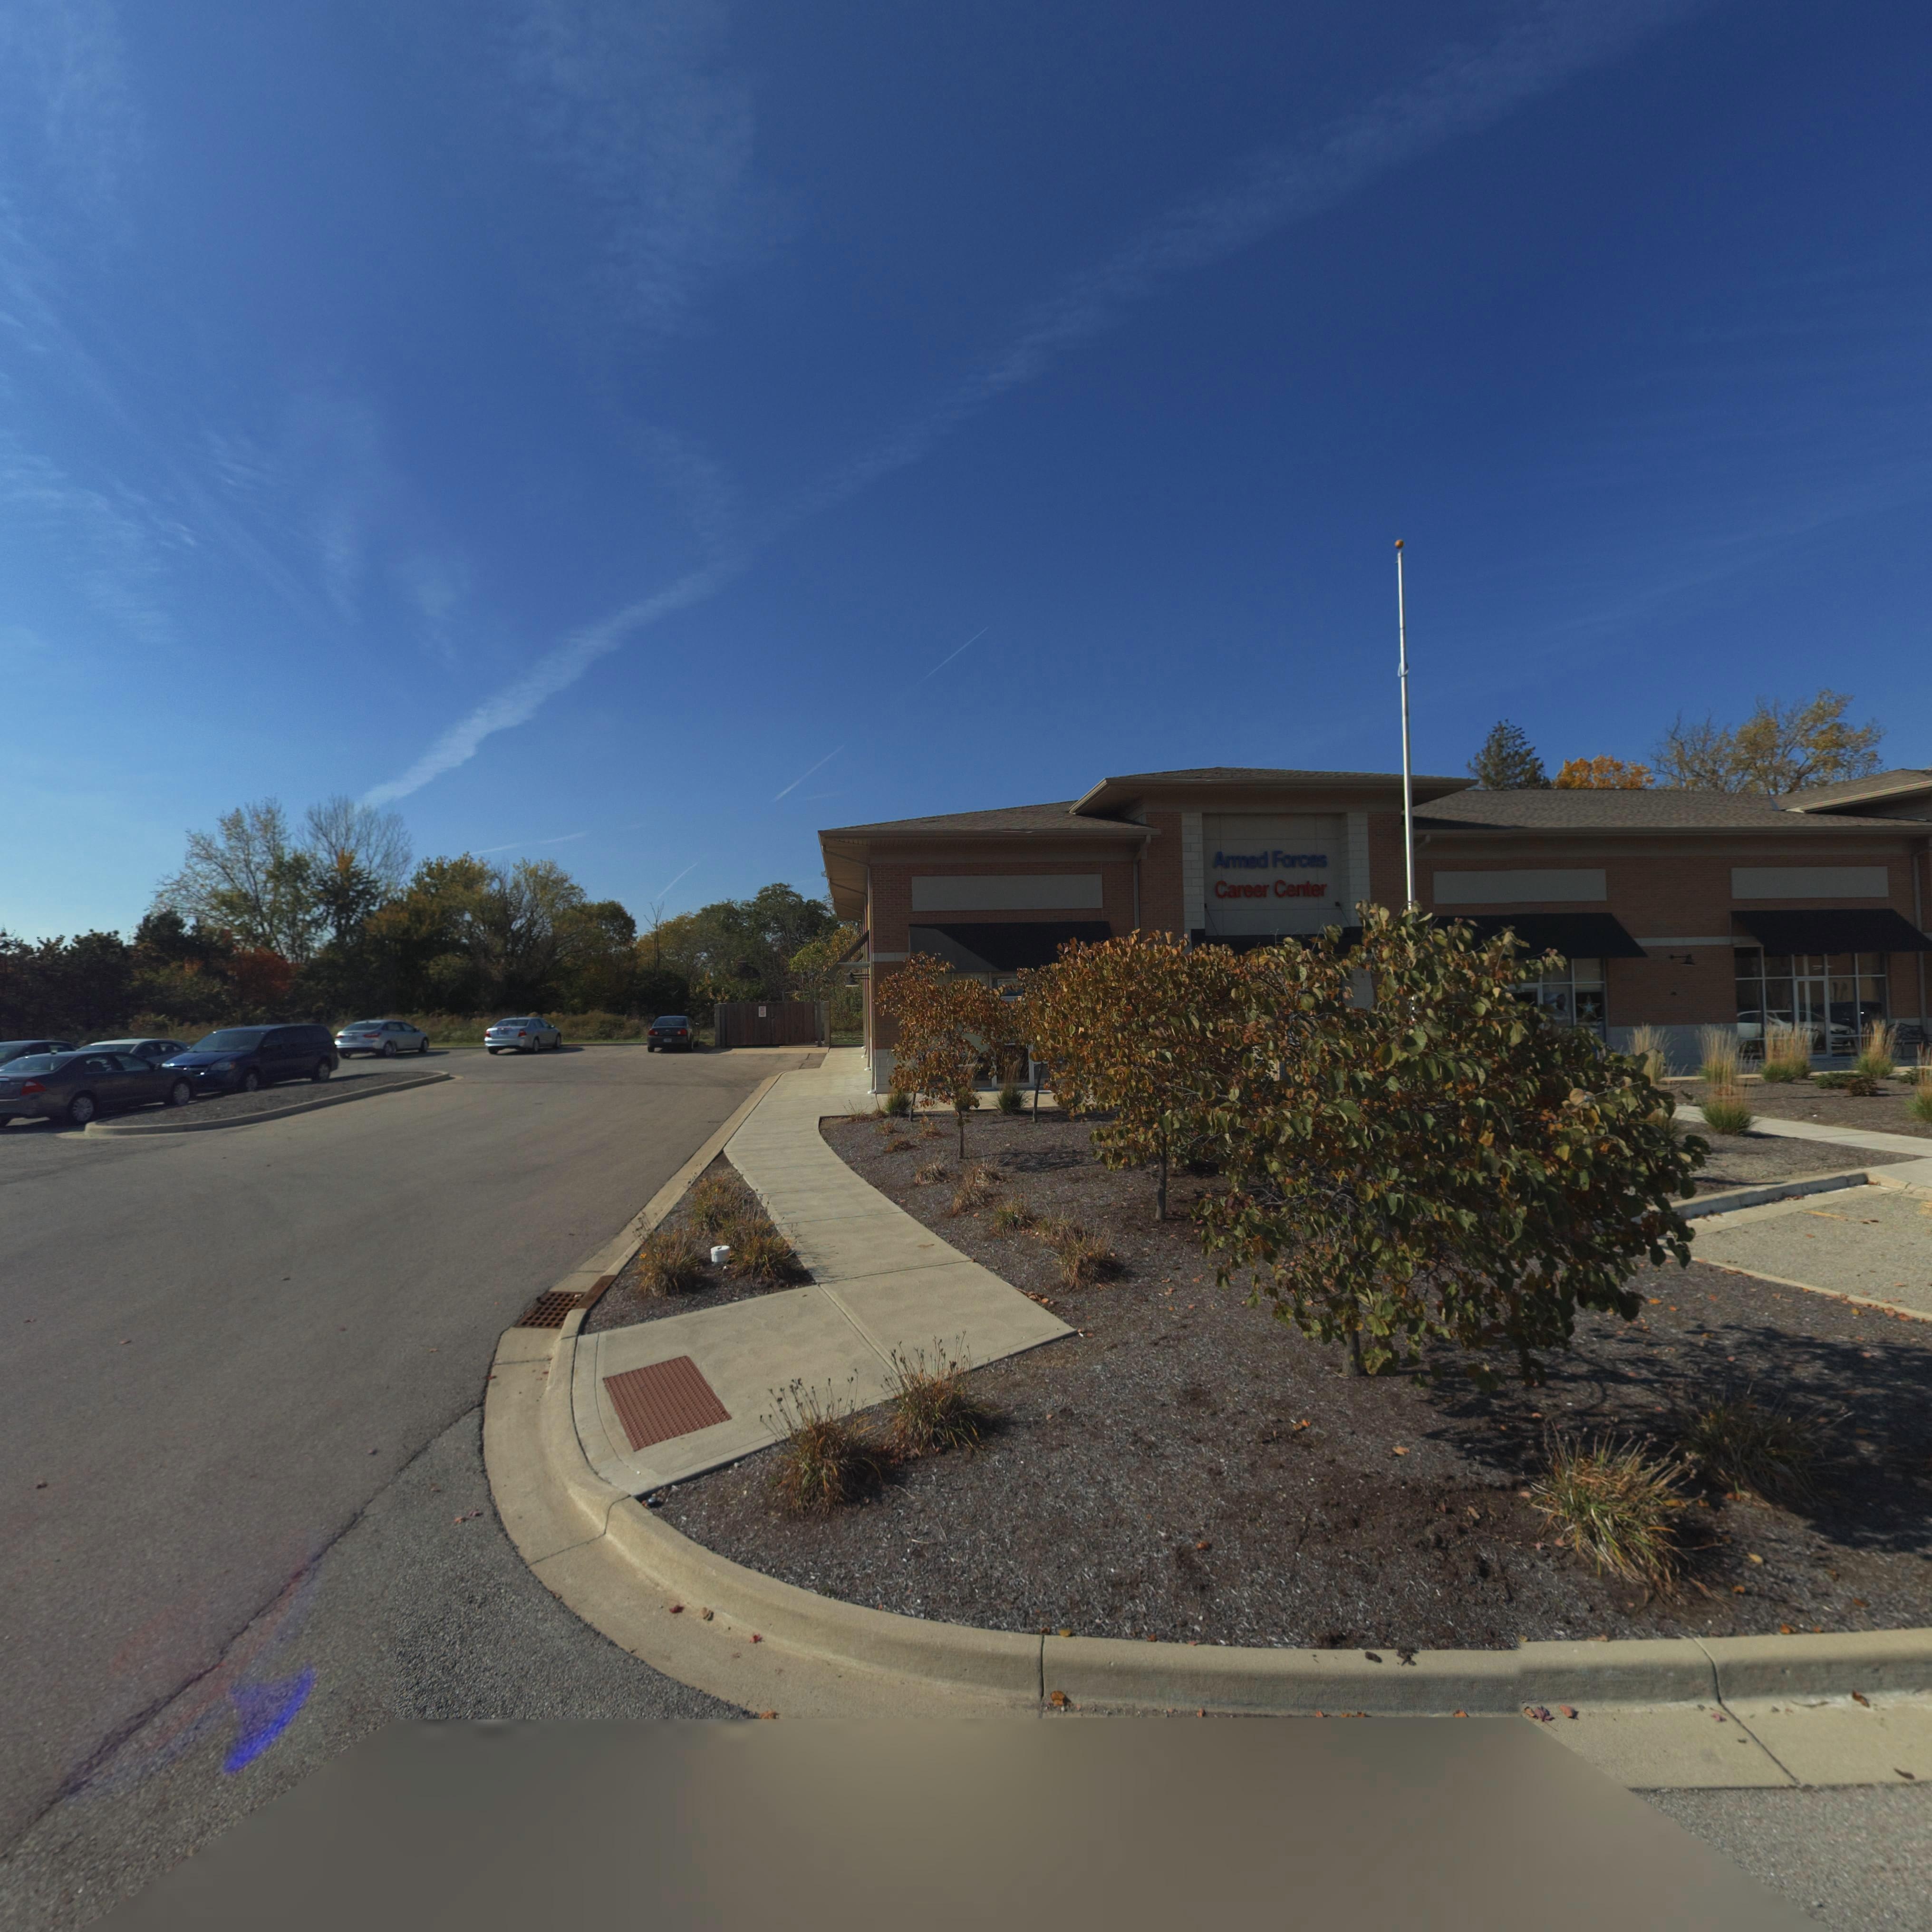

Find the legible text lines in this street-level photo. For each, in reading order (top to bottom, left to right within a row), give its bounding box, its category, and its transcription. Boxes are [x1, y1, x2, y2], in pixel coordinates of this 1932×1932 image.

[1211, 848, 1330, 870] BusinessName: Armed Forces
[1214, 879, 1329, 899] BusinessName: Career Center